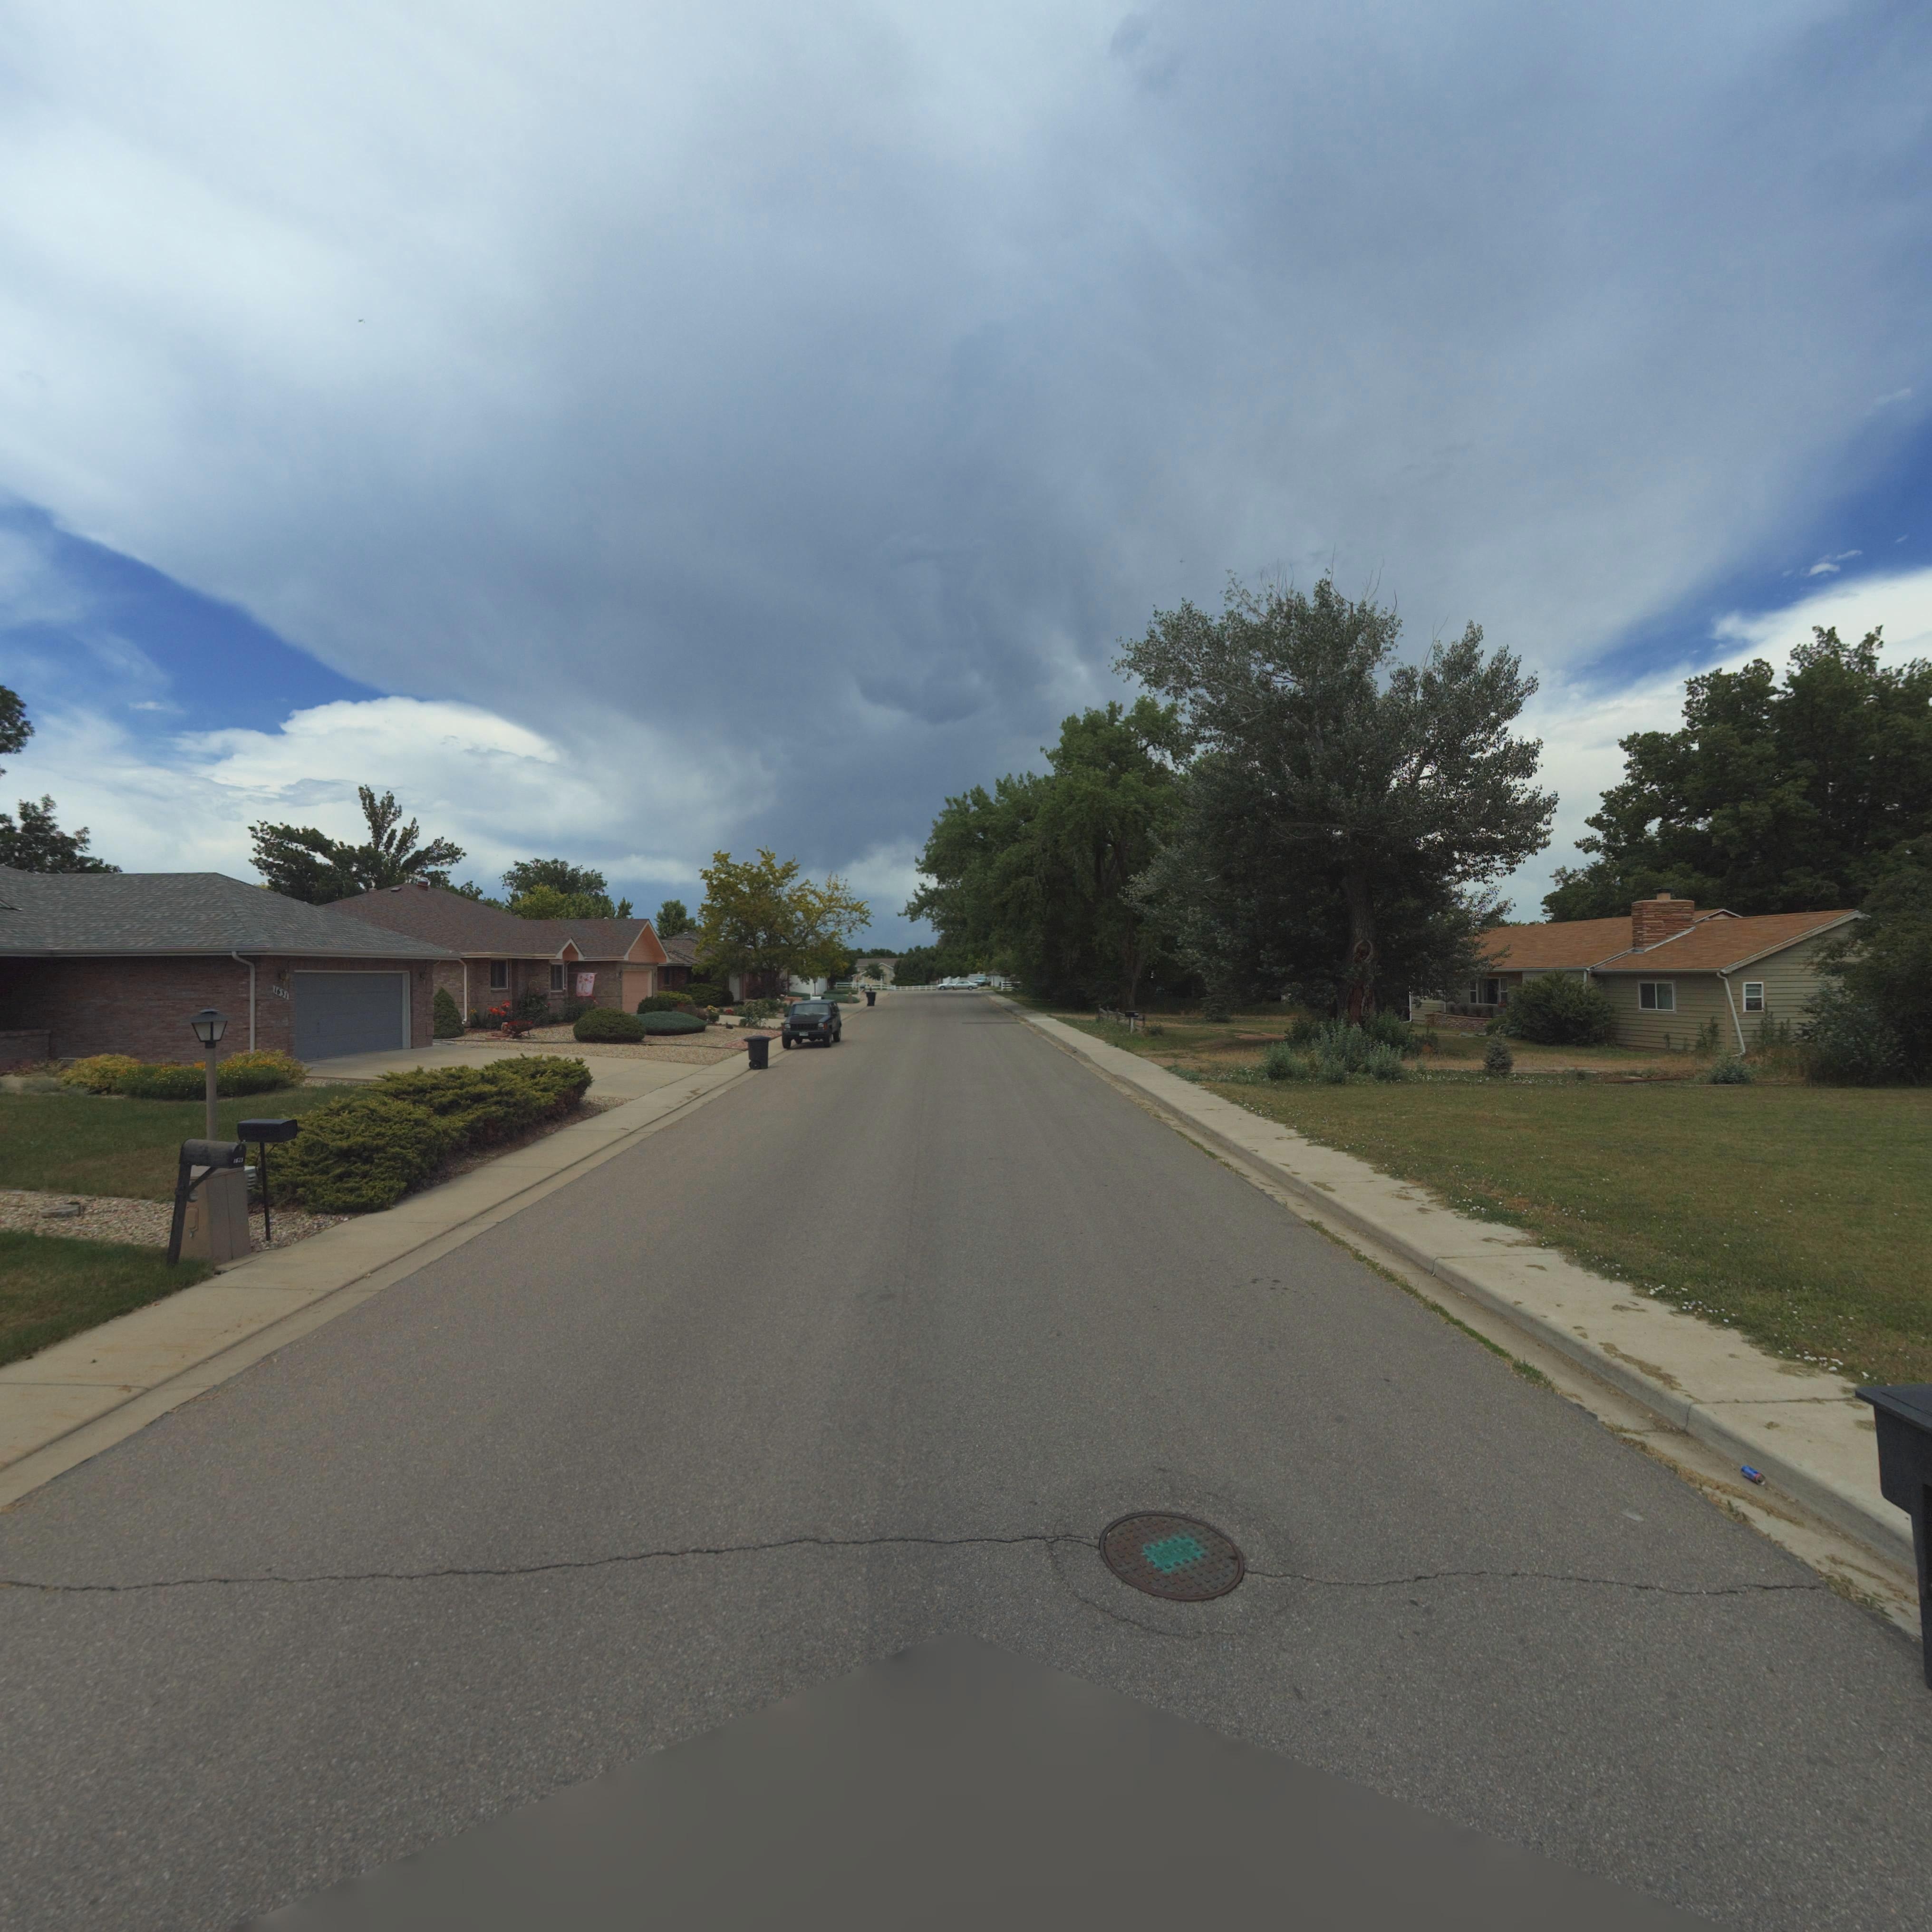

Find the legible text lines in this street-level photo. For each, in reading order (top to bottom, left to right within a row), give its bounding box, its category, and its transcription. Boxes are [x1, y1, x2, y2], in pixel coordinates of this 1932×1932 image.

[274, 985, 288, 999] StreetNumber: 1631
[233, 1157, 243, 1164] StreetNumber: 1**